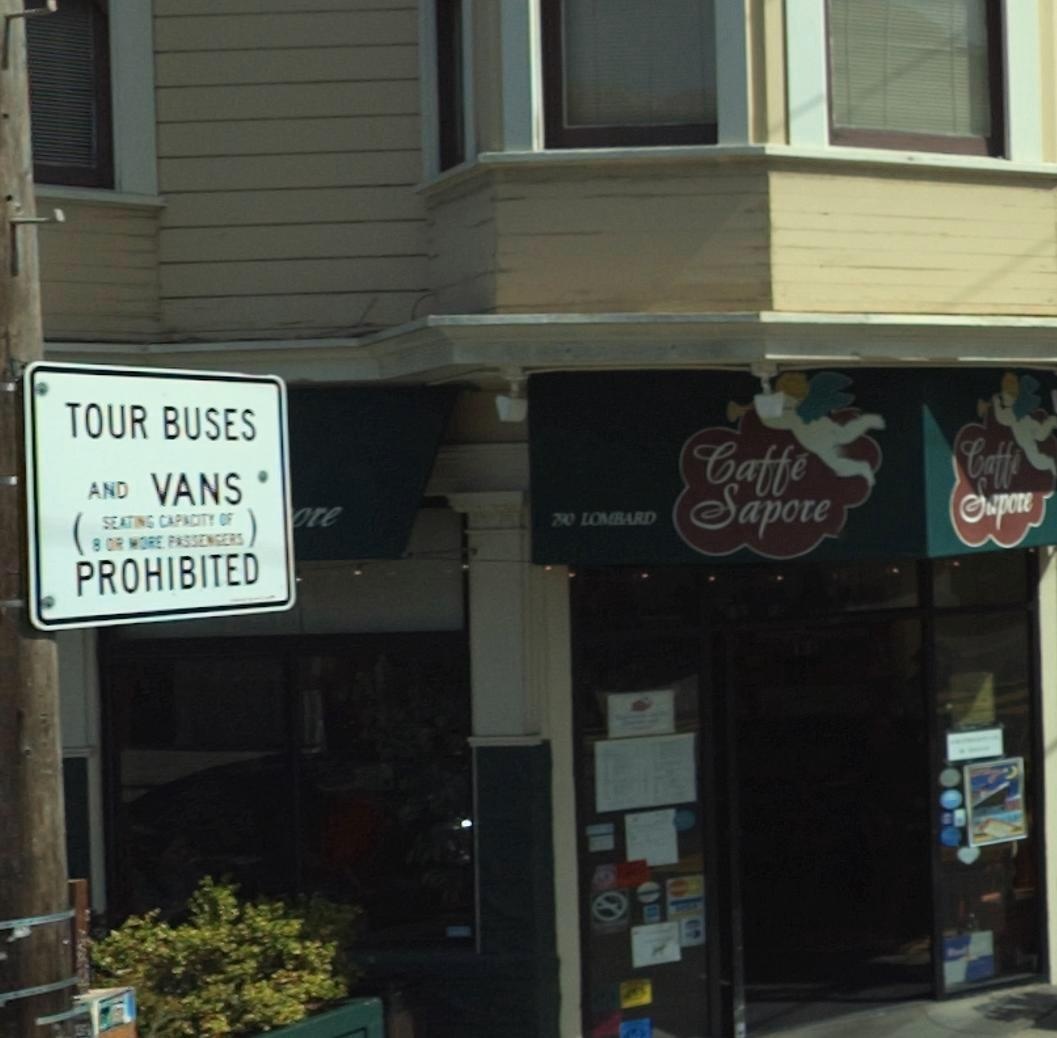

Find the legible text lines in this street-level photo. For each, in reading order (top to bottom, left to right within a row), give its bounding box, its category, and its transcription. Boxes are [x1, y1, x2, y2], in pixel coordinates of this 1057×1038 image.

[62, 400, 260, 443] None: TOUR BUSES
[84, 469, 245, 509] None: AND VANS
[101, 510, 235, 532] None: SEAT**G CAP***** OF
[90, 531, 246, 554] None: 8 OR MORE PASS*****S
[303, 504, 345, 529] None: re
[549, 511, 578, 528] StreetNumber: 790
[578, 510, 658, 528] StreetName: LOMBARD
[703, 439, 809, 500] BusinessName: Caffe
[686, 481, 834, 542] BusinessName: Sapore
[963, 436, 1023, 492] BusinessName: Caffe
[956, 474, 1036, 533] BusinessName: Sapore
[74, 551, 261, 599] None: PROHIBITED